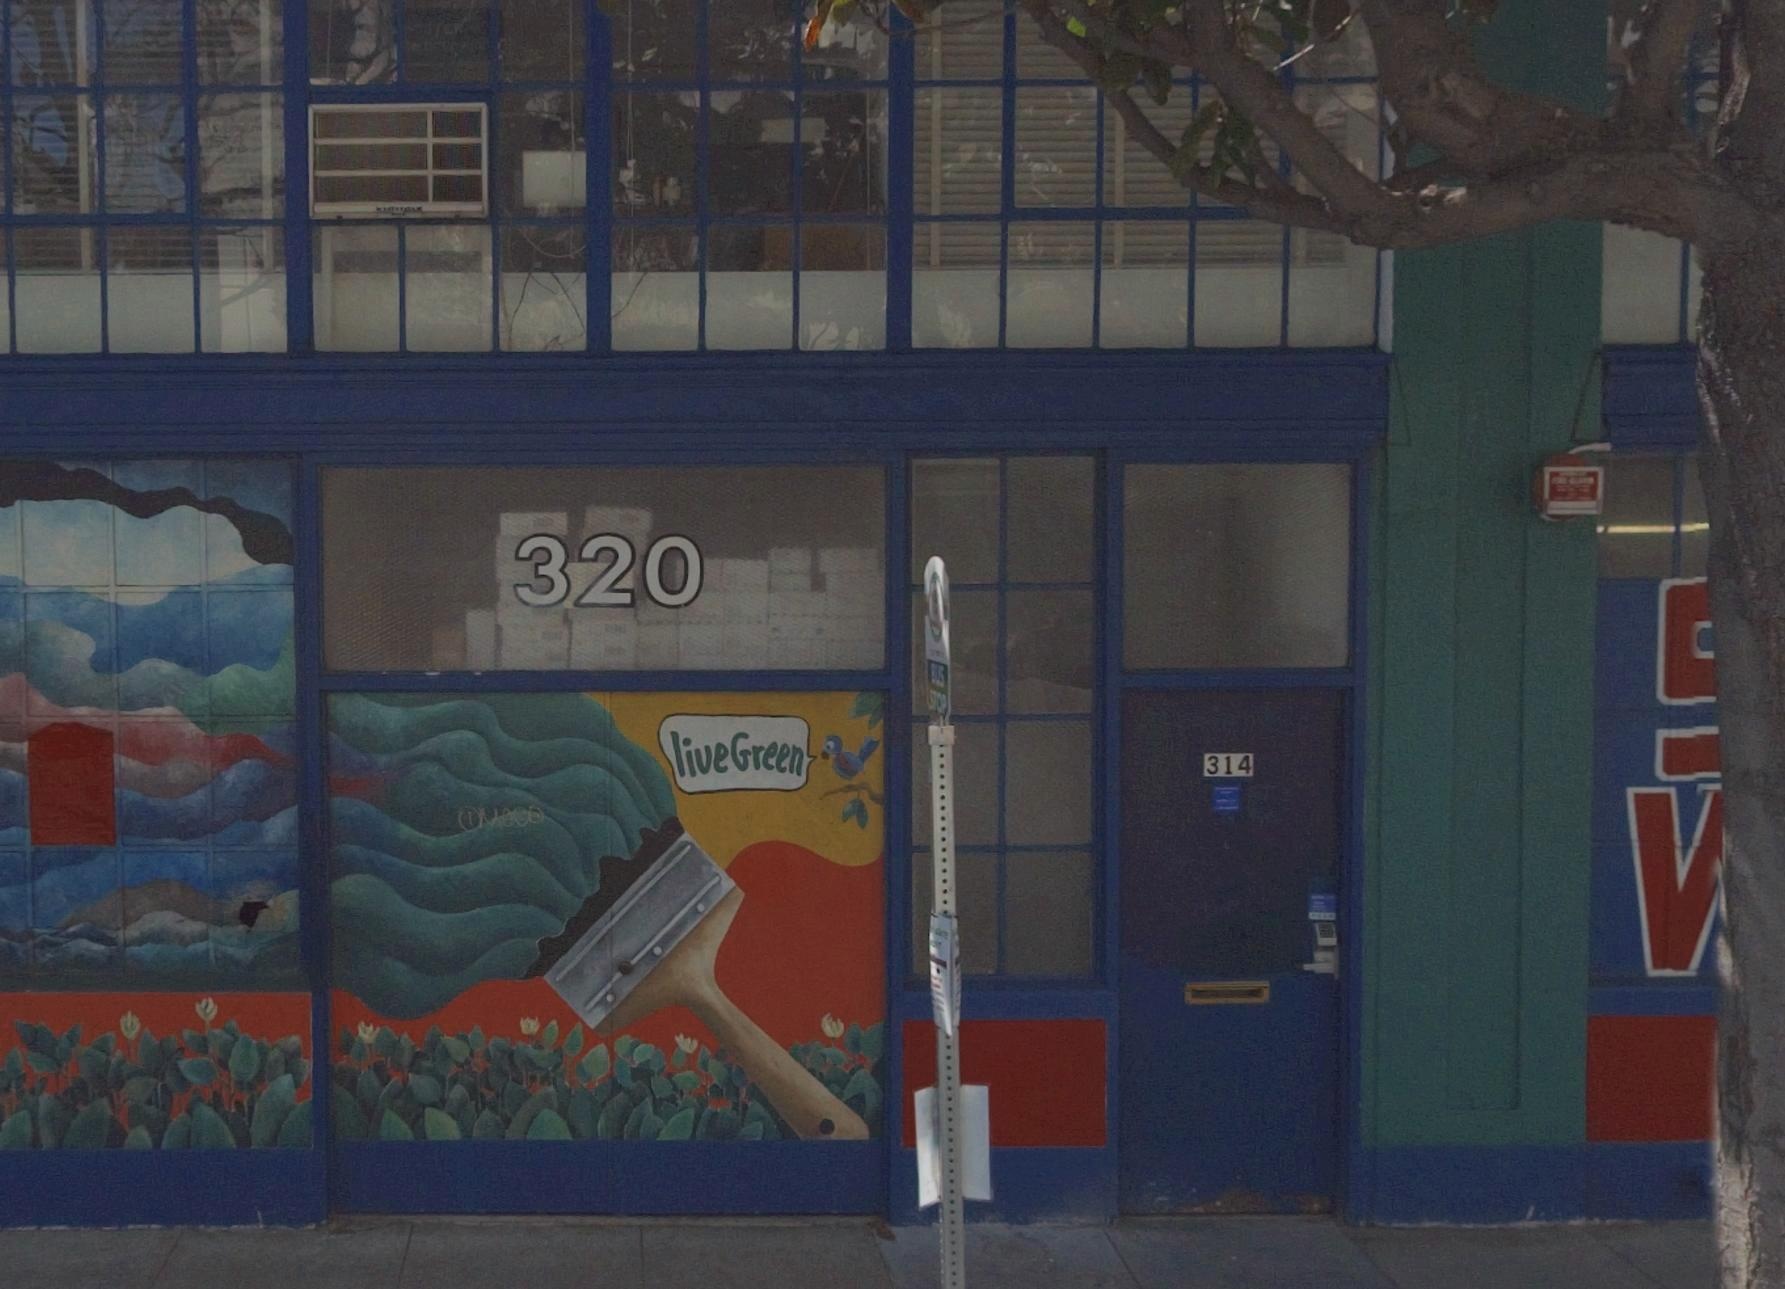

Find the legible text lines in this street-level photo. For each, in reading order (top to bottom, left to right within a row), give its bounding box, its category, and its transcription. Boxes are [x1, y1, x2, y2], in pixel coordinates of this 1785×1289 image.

[511, 531, 705, 609] StreetNumber: 320
[668, 729, 806, 778] None: liveGreen
[1205, 754, 1251, 776] StreetNumber: 314